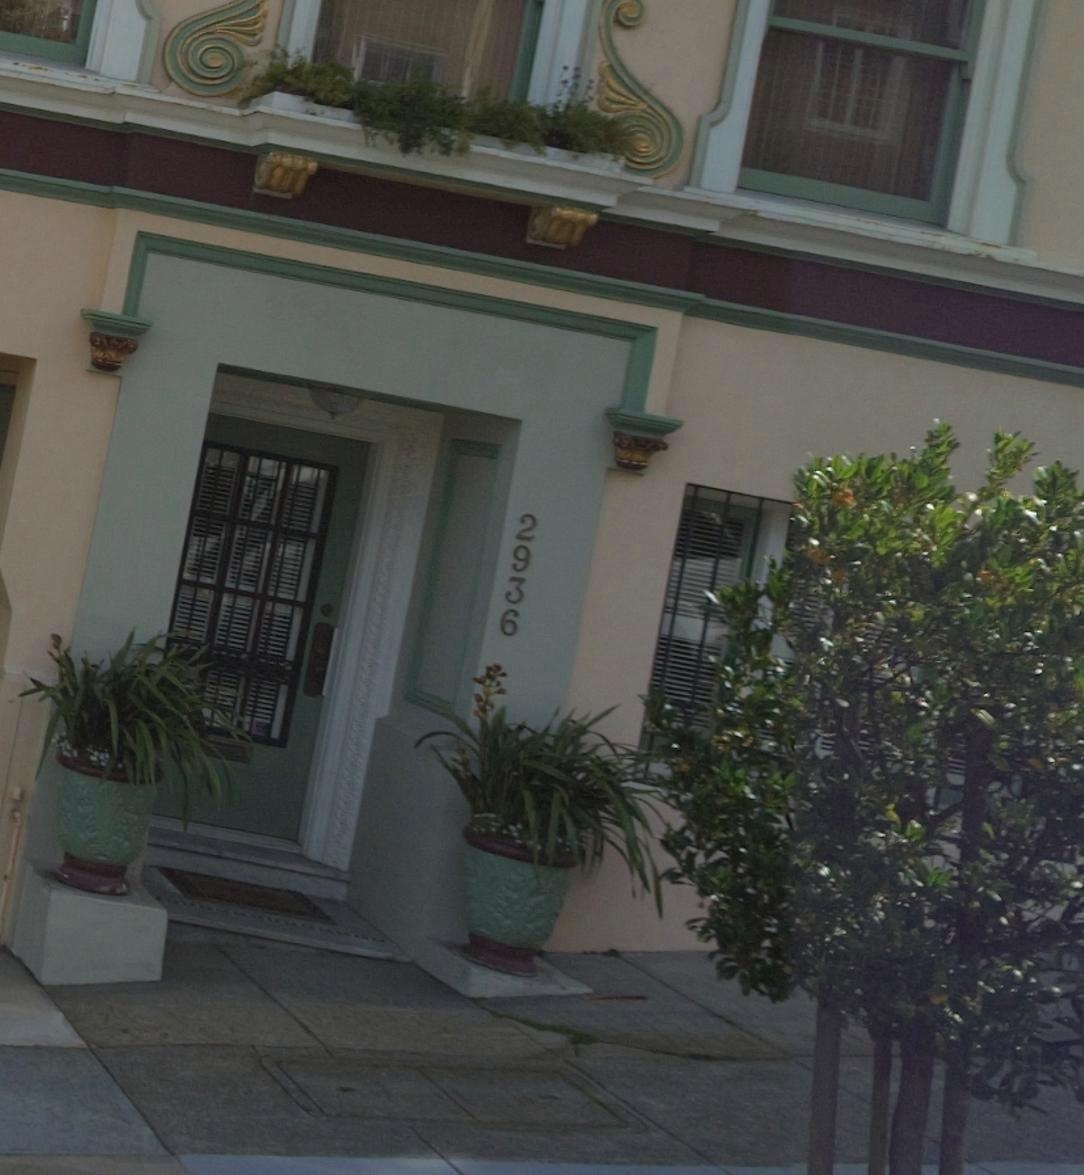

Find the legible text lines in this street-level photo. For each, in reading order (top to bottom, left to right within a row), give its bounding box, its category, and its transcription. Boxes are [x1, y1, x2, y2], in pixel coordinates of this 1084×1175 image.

[496, 510, 541, 640] StreetNumber: 2936